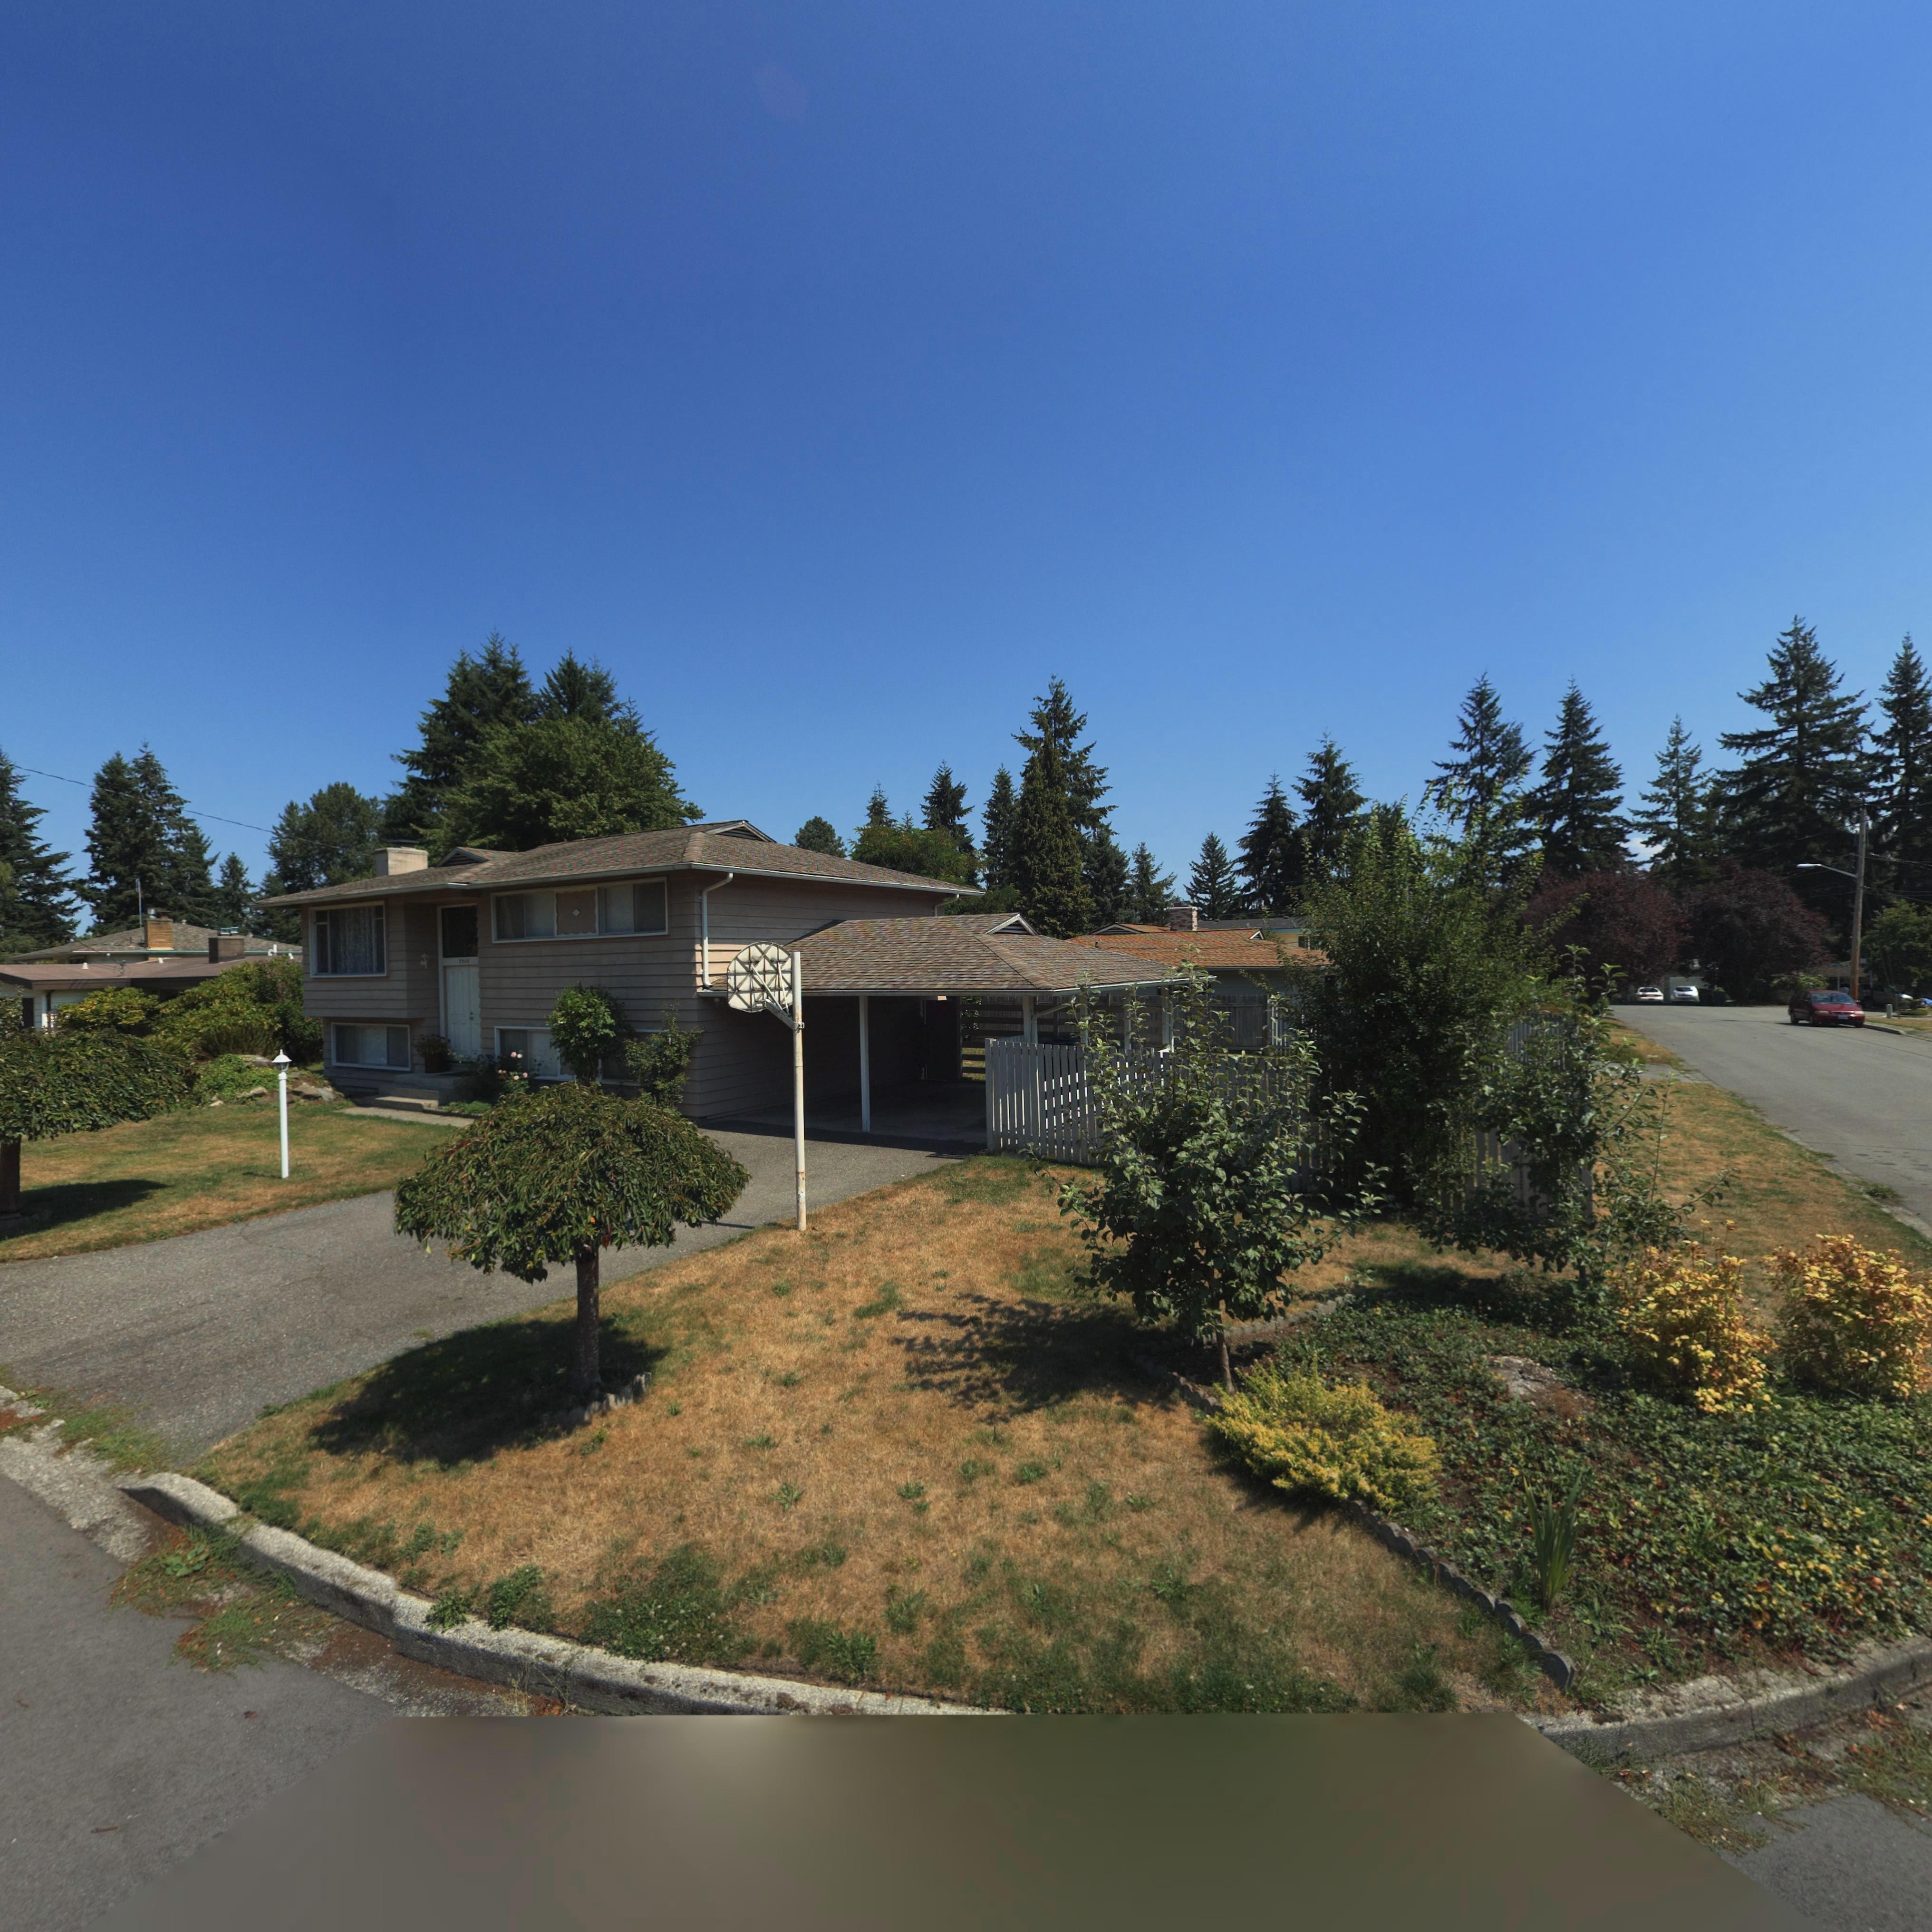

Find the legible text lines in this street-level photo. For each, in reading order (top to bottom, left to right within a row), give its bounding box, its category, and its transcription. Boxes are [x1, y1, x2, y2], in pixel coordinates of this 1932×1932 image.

[458, 957, 471, 966] StreetNumber: 2506